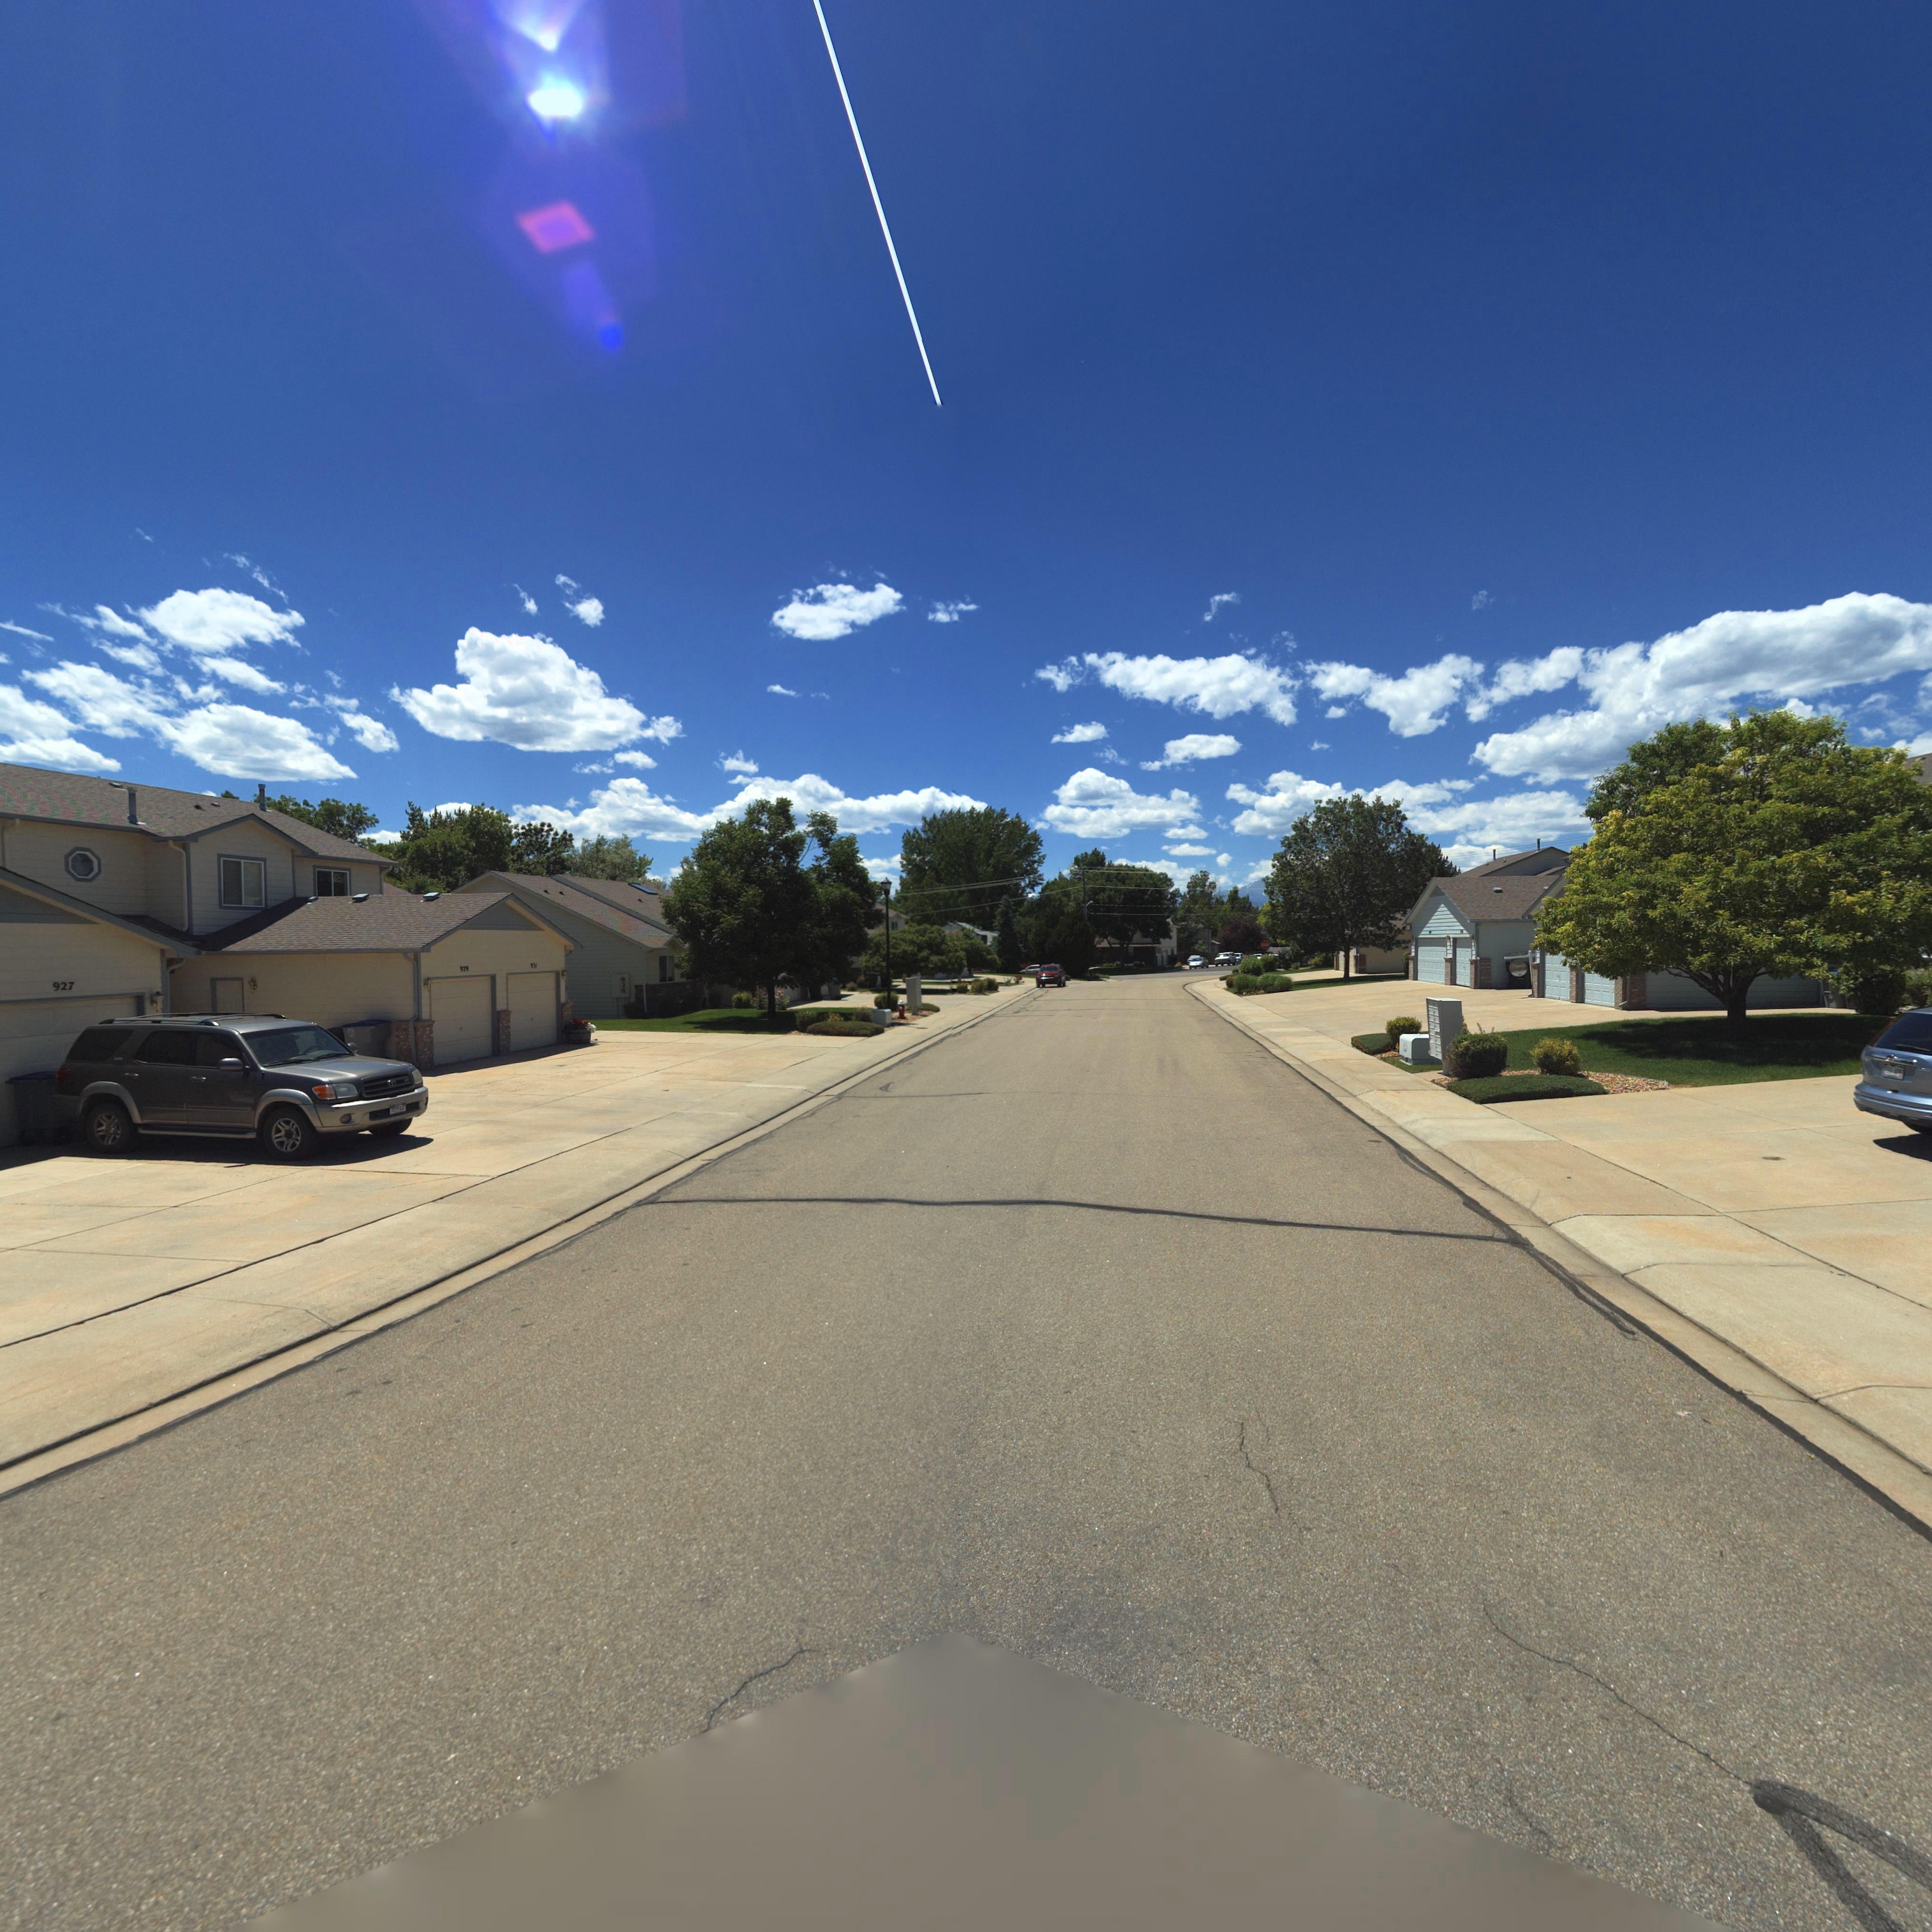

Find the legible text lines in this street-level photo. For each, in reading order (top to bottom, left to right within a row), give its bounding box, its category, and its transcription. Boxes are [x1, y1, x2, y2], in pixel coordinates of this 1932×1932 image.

[459, 965, 469, 972] StreetNumber: 929
[530, 962, 538, 968] StreetNumber: 931
[51, 981, 76, 992] StreetNumber: 927